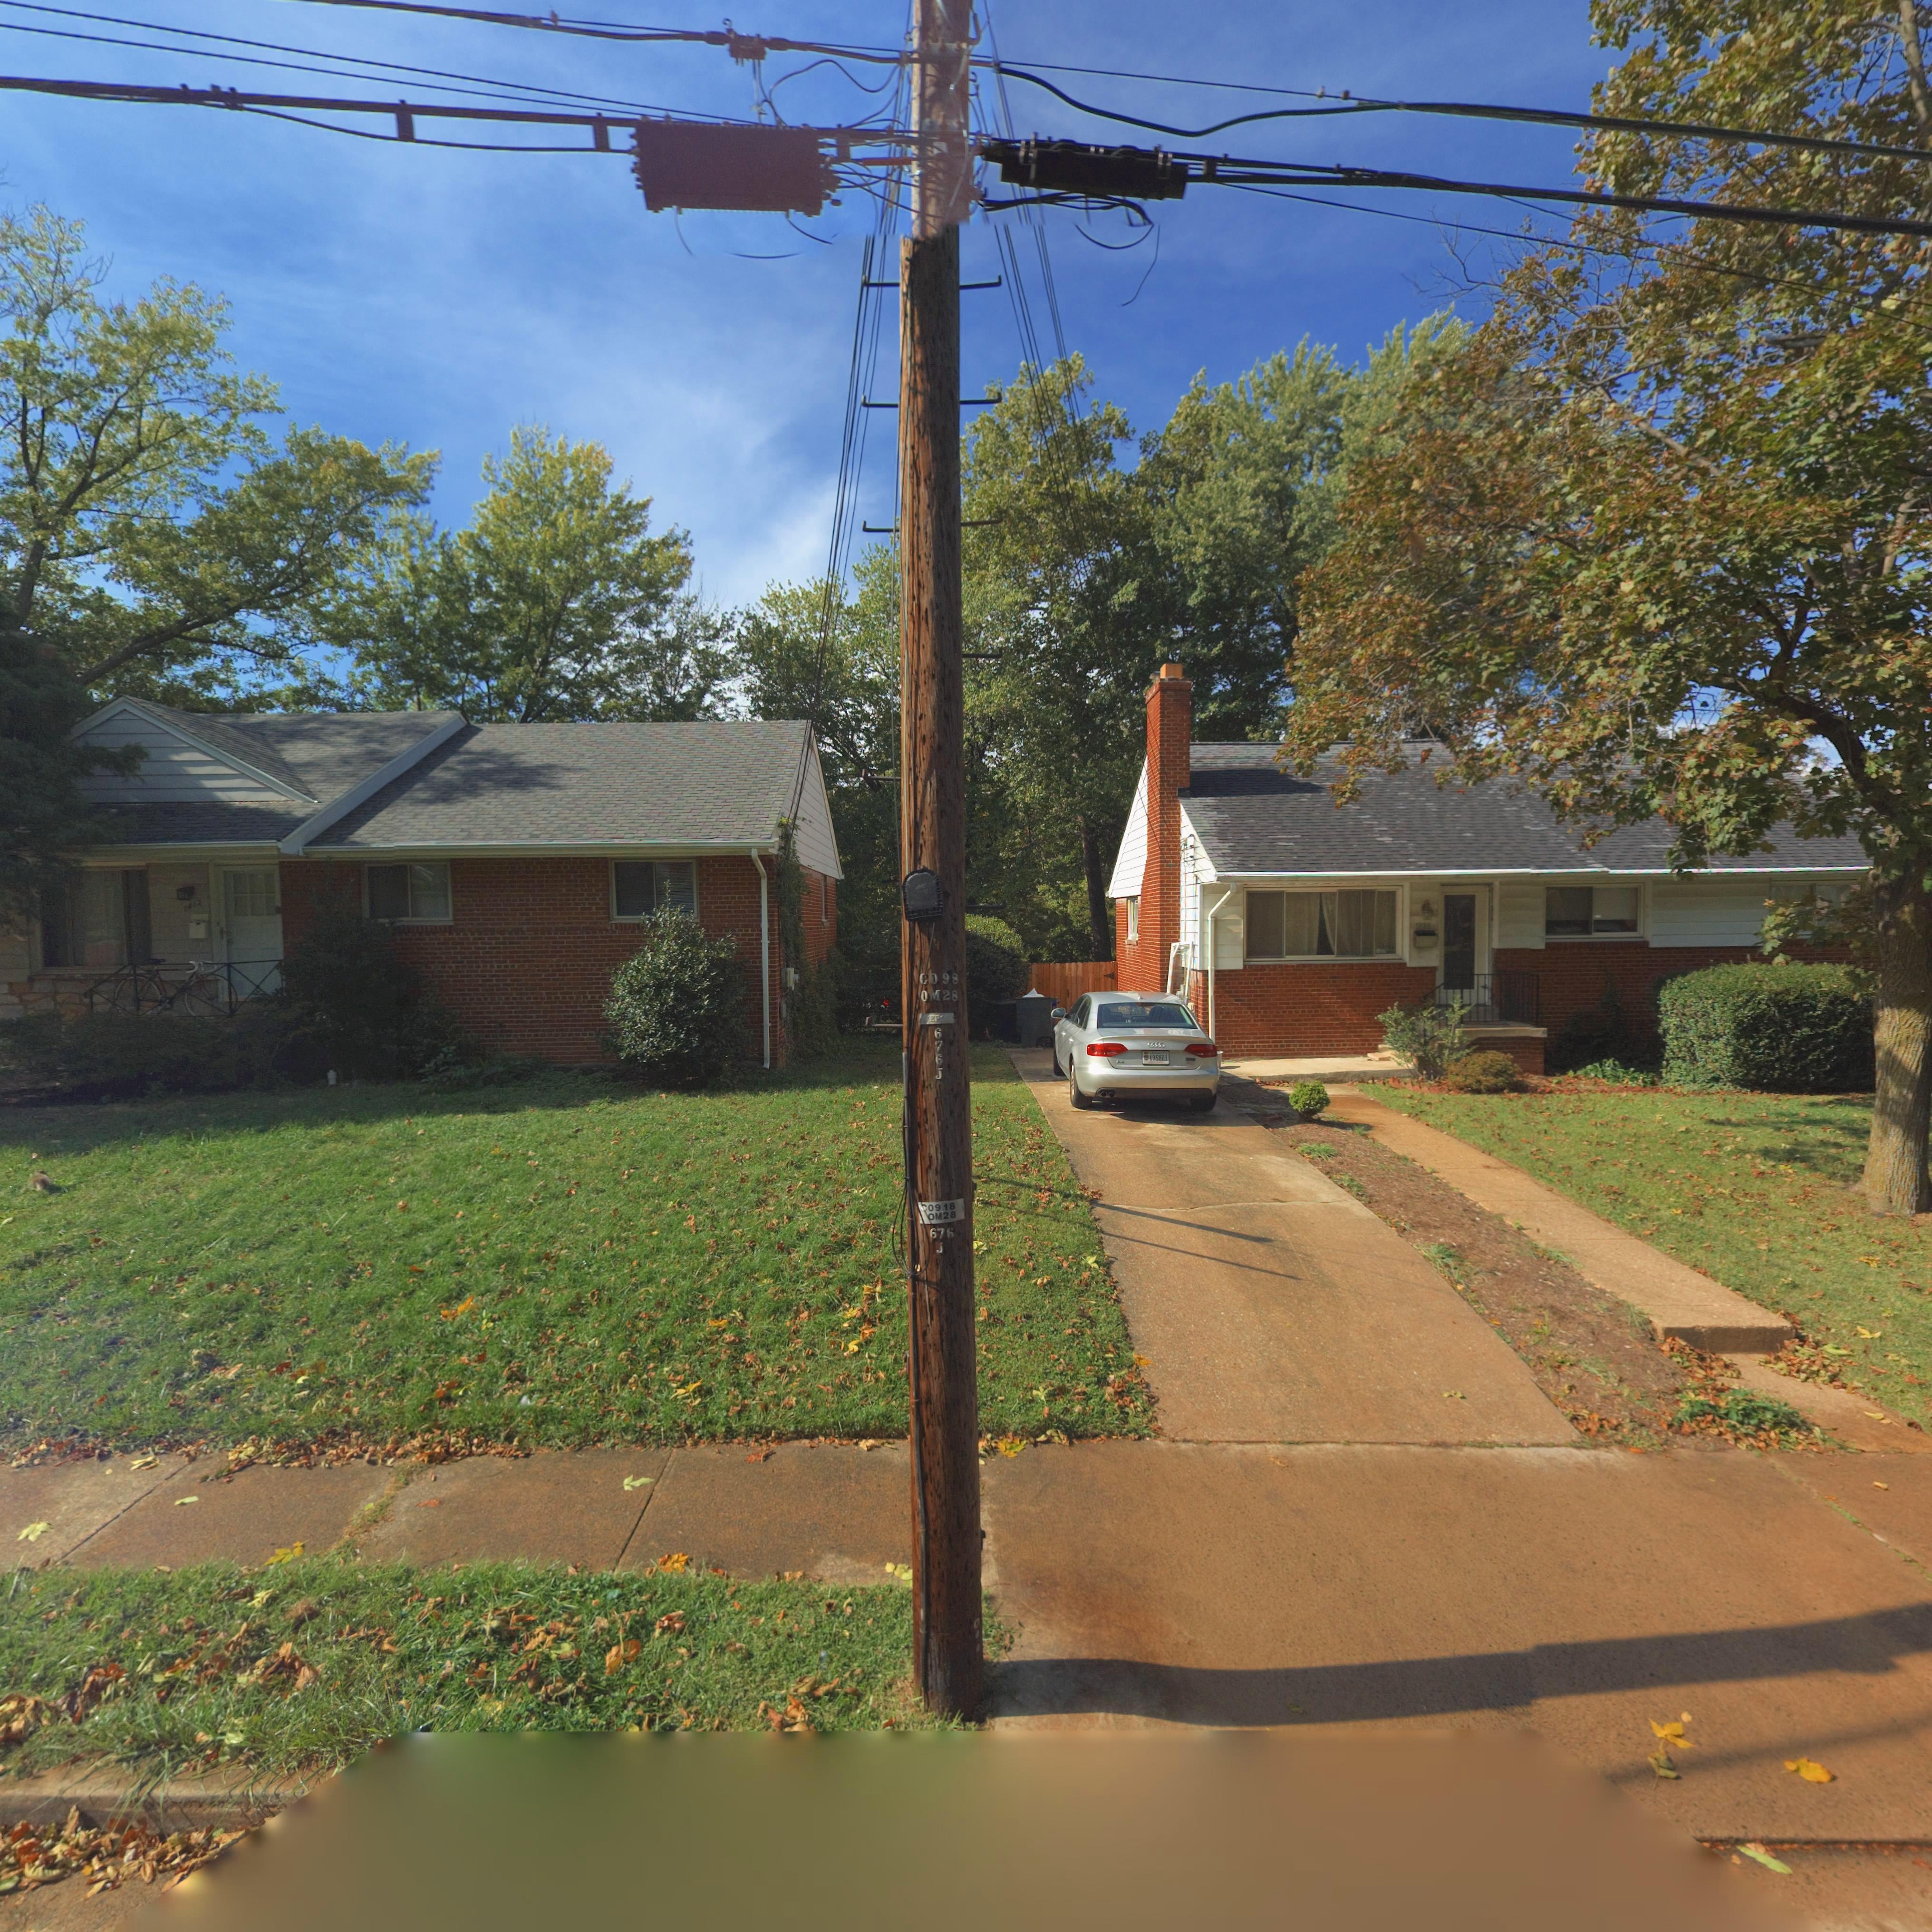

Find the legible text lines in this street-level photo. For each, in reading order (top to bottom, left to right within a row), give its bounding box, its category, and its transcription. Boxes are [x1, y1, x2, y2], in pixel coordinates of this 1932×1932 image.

[183, 898, 203, 913] StreetNumber: 1812
[1414, 921, 1433, 931] StreetNumber: 1816
[918, 971, 960, 987] None: CO98
[919, 988, 959, 1003] None: OM28
[932, 1025, 945, 1081] None: 676J
[927, 1200, 957, 1213] None: 0918
[926, 1209, 959, 1222] None: OM28
[928, 1225, 956, 1241] None: 676
[934, 1240, 945, 1256] None: J